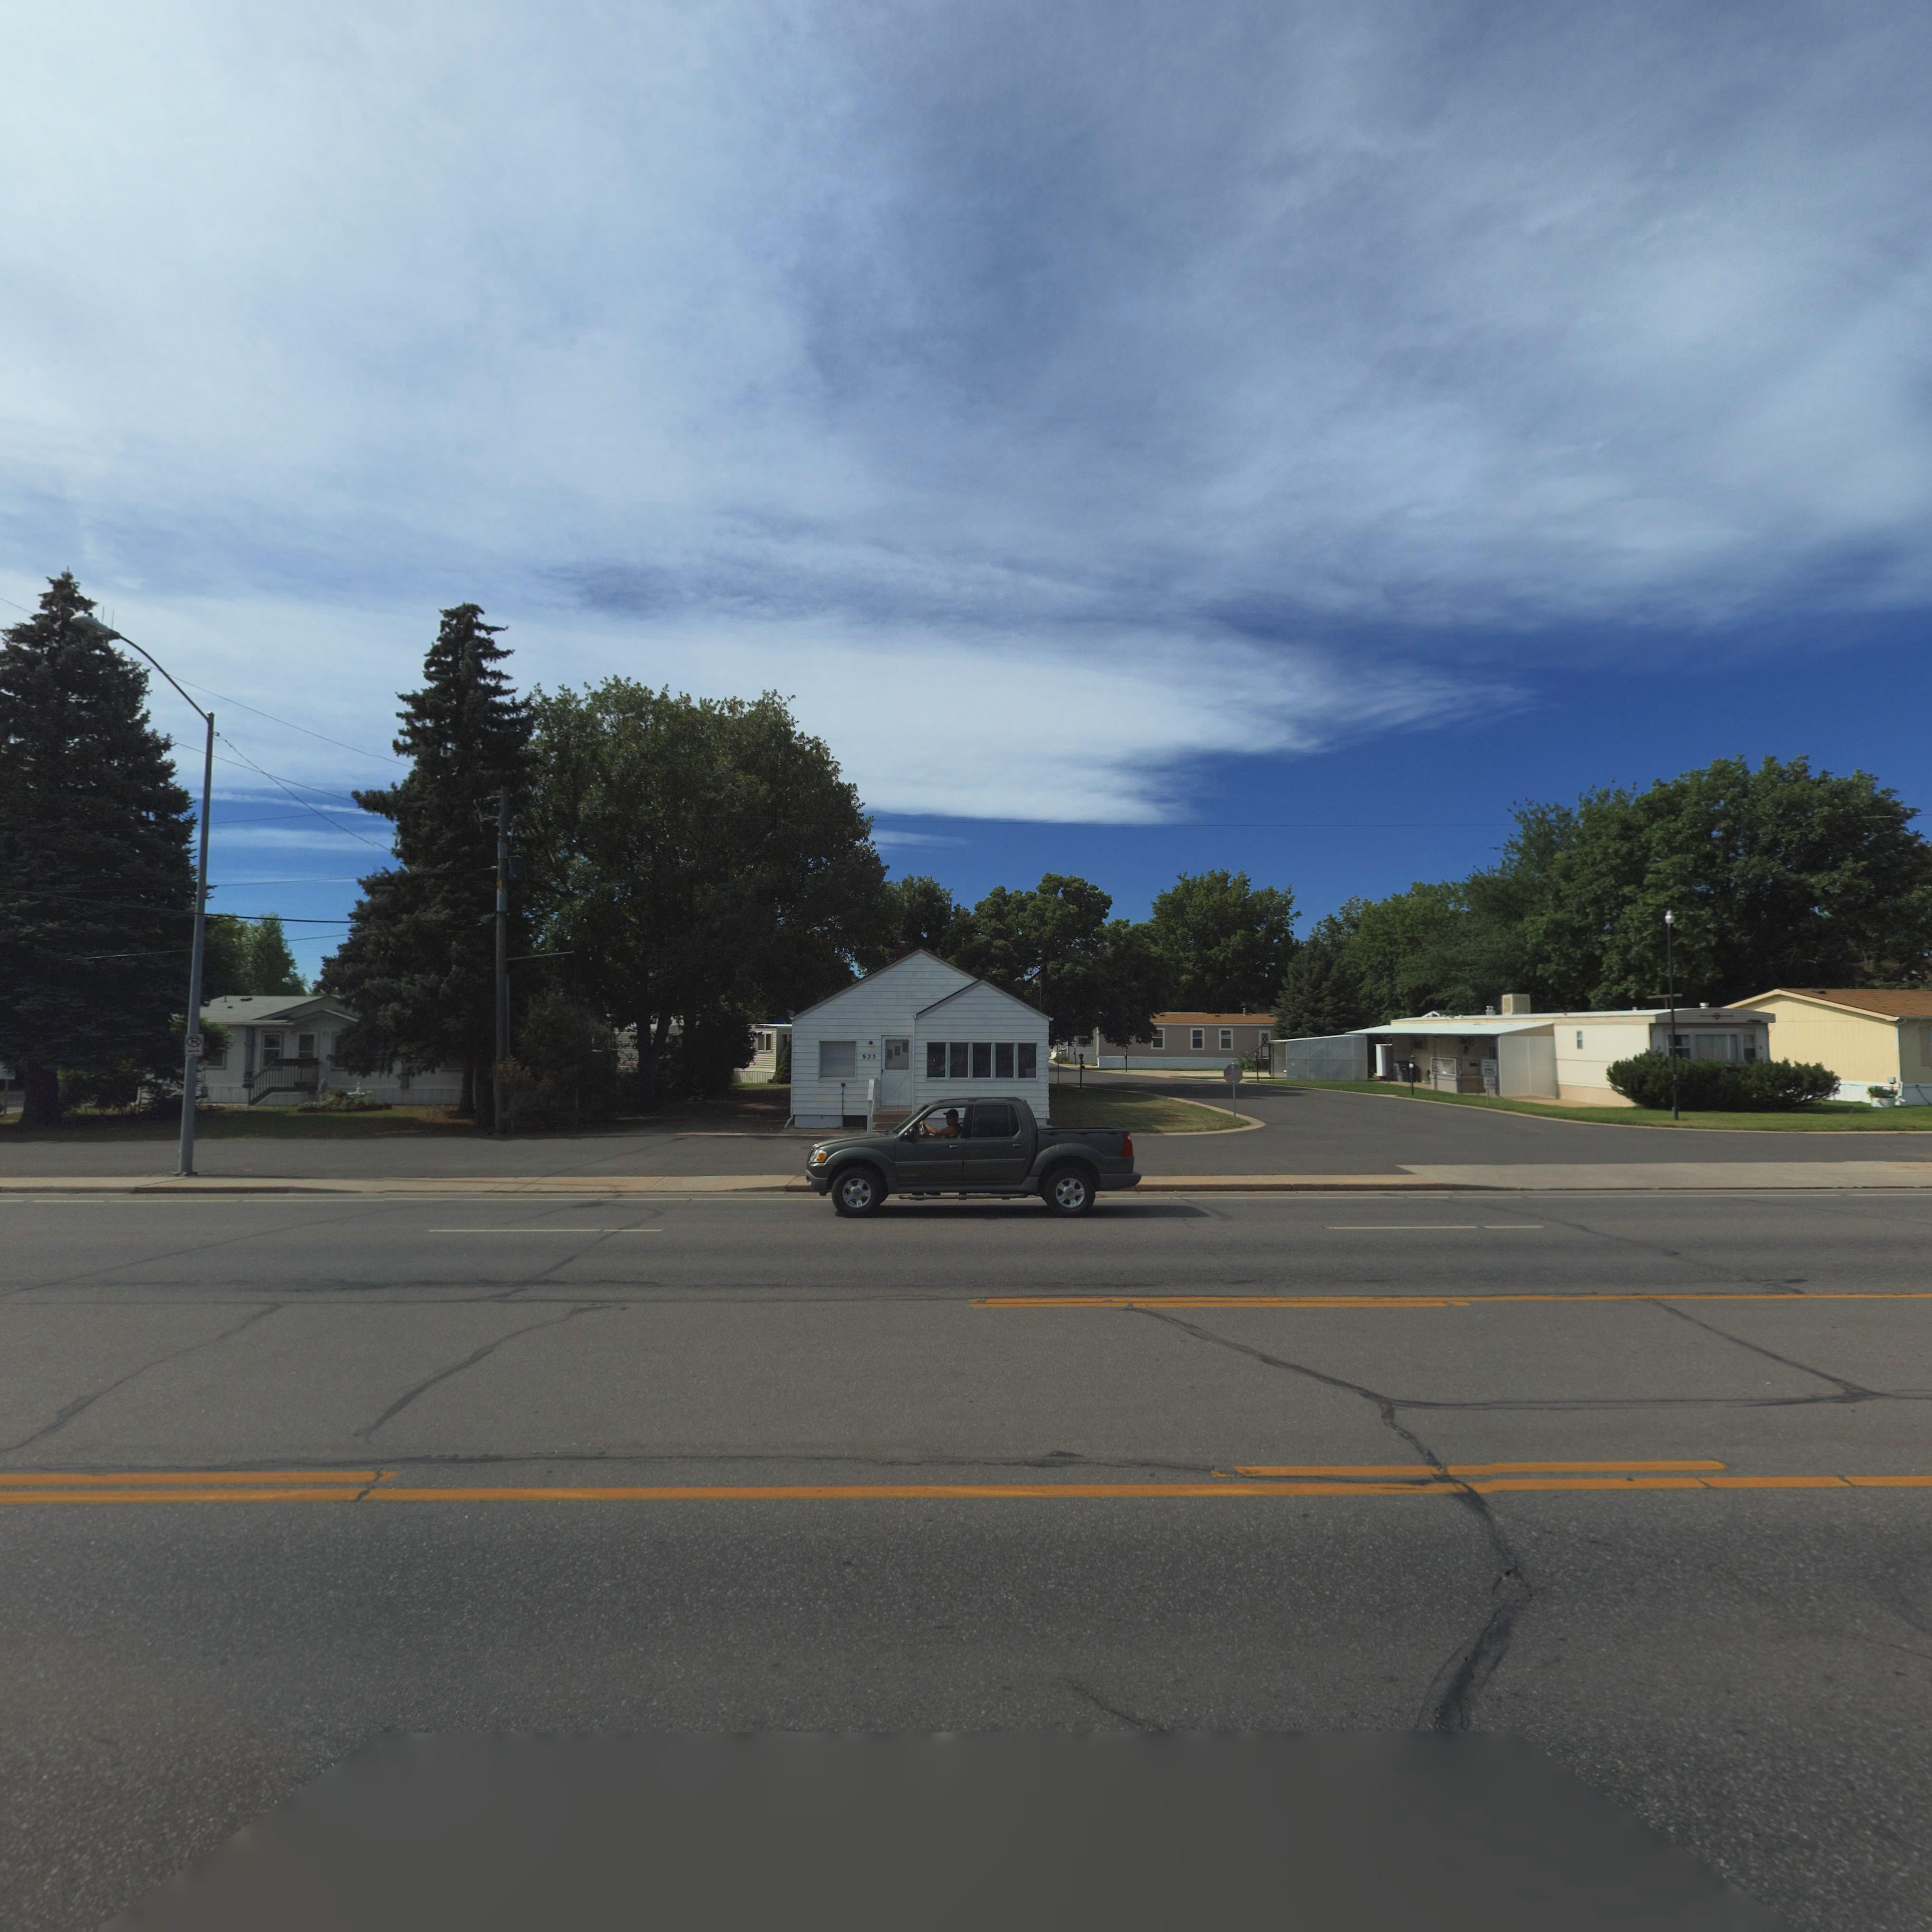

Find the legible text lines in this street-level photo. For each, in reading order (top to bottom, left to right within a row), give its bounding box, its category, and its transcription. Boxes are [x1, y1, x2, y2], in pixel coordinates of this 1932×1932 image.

[862, 1053, 876, 1060] StreetNumber: 925